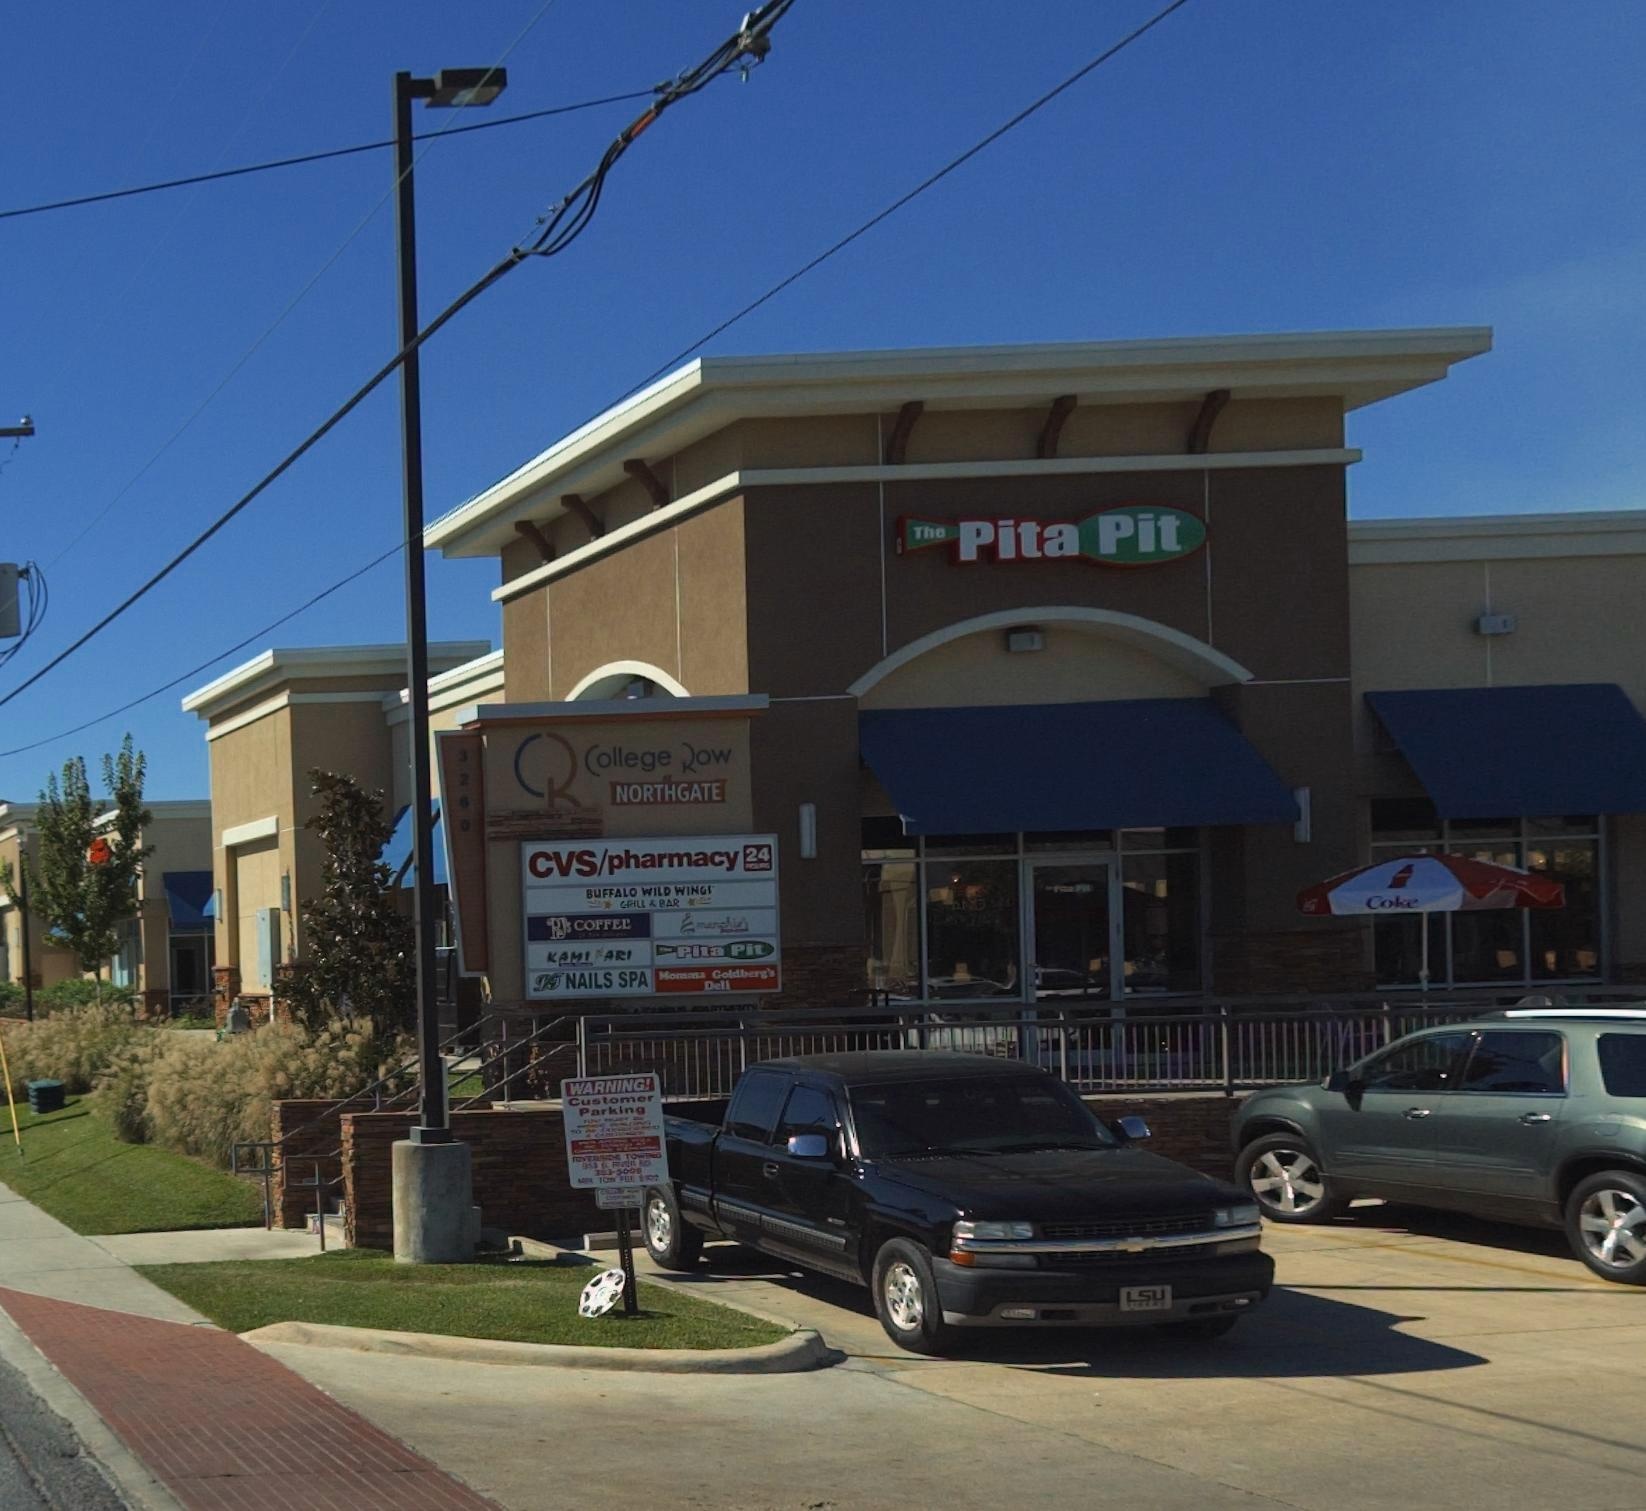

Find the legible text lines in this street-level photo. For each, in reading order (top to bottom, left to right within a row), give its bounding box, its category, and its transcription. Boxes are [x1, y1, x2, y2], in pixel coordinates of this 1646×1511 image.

[912, 512, 1183, 564] BusinessName: The Pita Pit
[583, 740, 734, 778] BusinessName: College Row
[512, 730, 582, 808] None: CR
[457, 747, 472, 833] StreetNumber: 3260
[614, 781, 723, 805] BusinessName: NORTHGATE
[744, 846, 771, 862] None: 24
[527, 847, 741, 879] BusinessName: CVS/pharmacy
[585, 883, 714, 900] BusinessName: BUFFALO WILD WINGS
[1046, 880, 1092, 897] None: P*** Pit
[619, 898, 681, 910] None: GRILL & BAR
[949, 897, 987, 913] None: AND
[1364, 894, 1421, 911] None: Coke
[544, 916, 573, 940] BusinessName: PJs
[573, 917, 633, 932] BusinessName: COFFEE
[696, 914, 743, 936] BusinessName: m**chie*
[545, 946, 633, 965] BusinessName: KAMI*ARI
[676, 943, 767, 959] BusinessName: Pita Pit
[532, 970, 649, 993] BusinessName: LT NAILS SPA
[702, 979, 731, 991] BusinessName: Deli
[658, 966, 776, 981] BusinessName: Momma Goldberg's
[569, 1077, 652, 1096] None: WARNING!
[568, 1094, 654, 1108] None: Customer
[579, 1105, 646, 1118] None: Parking
[1125, 1288, 1166, 1304] None: LSU